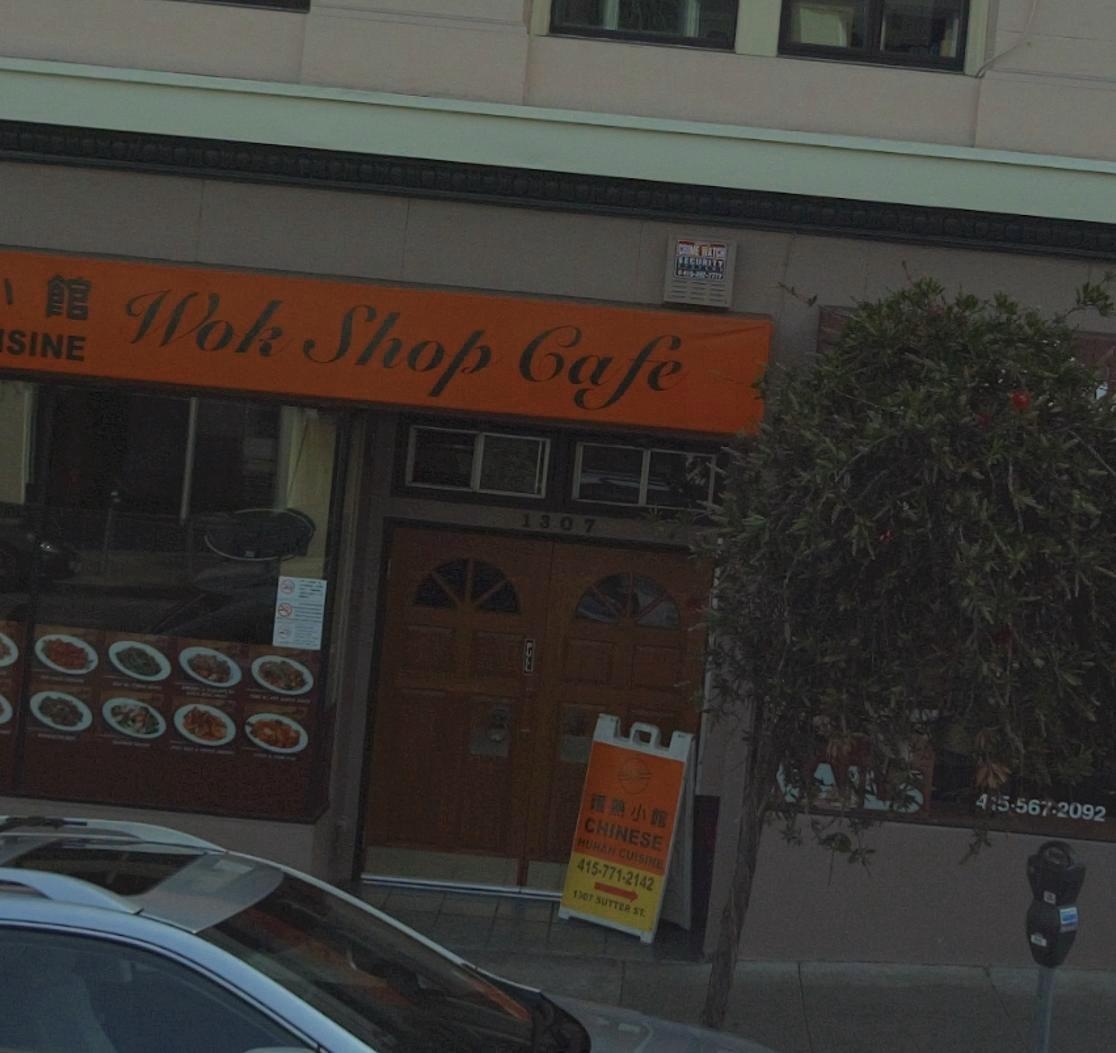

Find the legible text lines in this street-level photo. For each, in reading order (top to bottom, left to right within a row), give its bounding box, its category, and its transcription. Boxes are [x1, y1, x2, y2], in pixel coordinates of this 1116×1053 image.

[3, 324, 90, 366] None: SINE
[118, 281, 701, 420] BusinessName: Wok Shop Cafe
[519, 508, 602, 537] StreetNumber: 1307
[520, 639, 536, 675] None: PULL
[971, 789, 1109, 826] None: 4*5-56*-*092
[571, 832, 667, 873] None: *U*AN CUISINE
[581, 813, 666, 857] None: CHINESE
[573, 854, 658, 895] None: 415-771-2142
[570, 886, 596, 905] None: 1305
[591, 890, 649, 922] None: SUTTER ST.